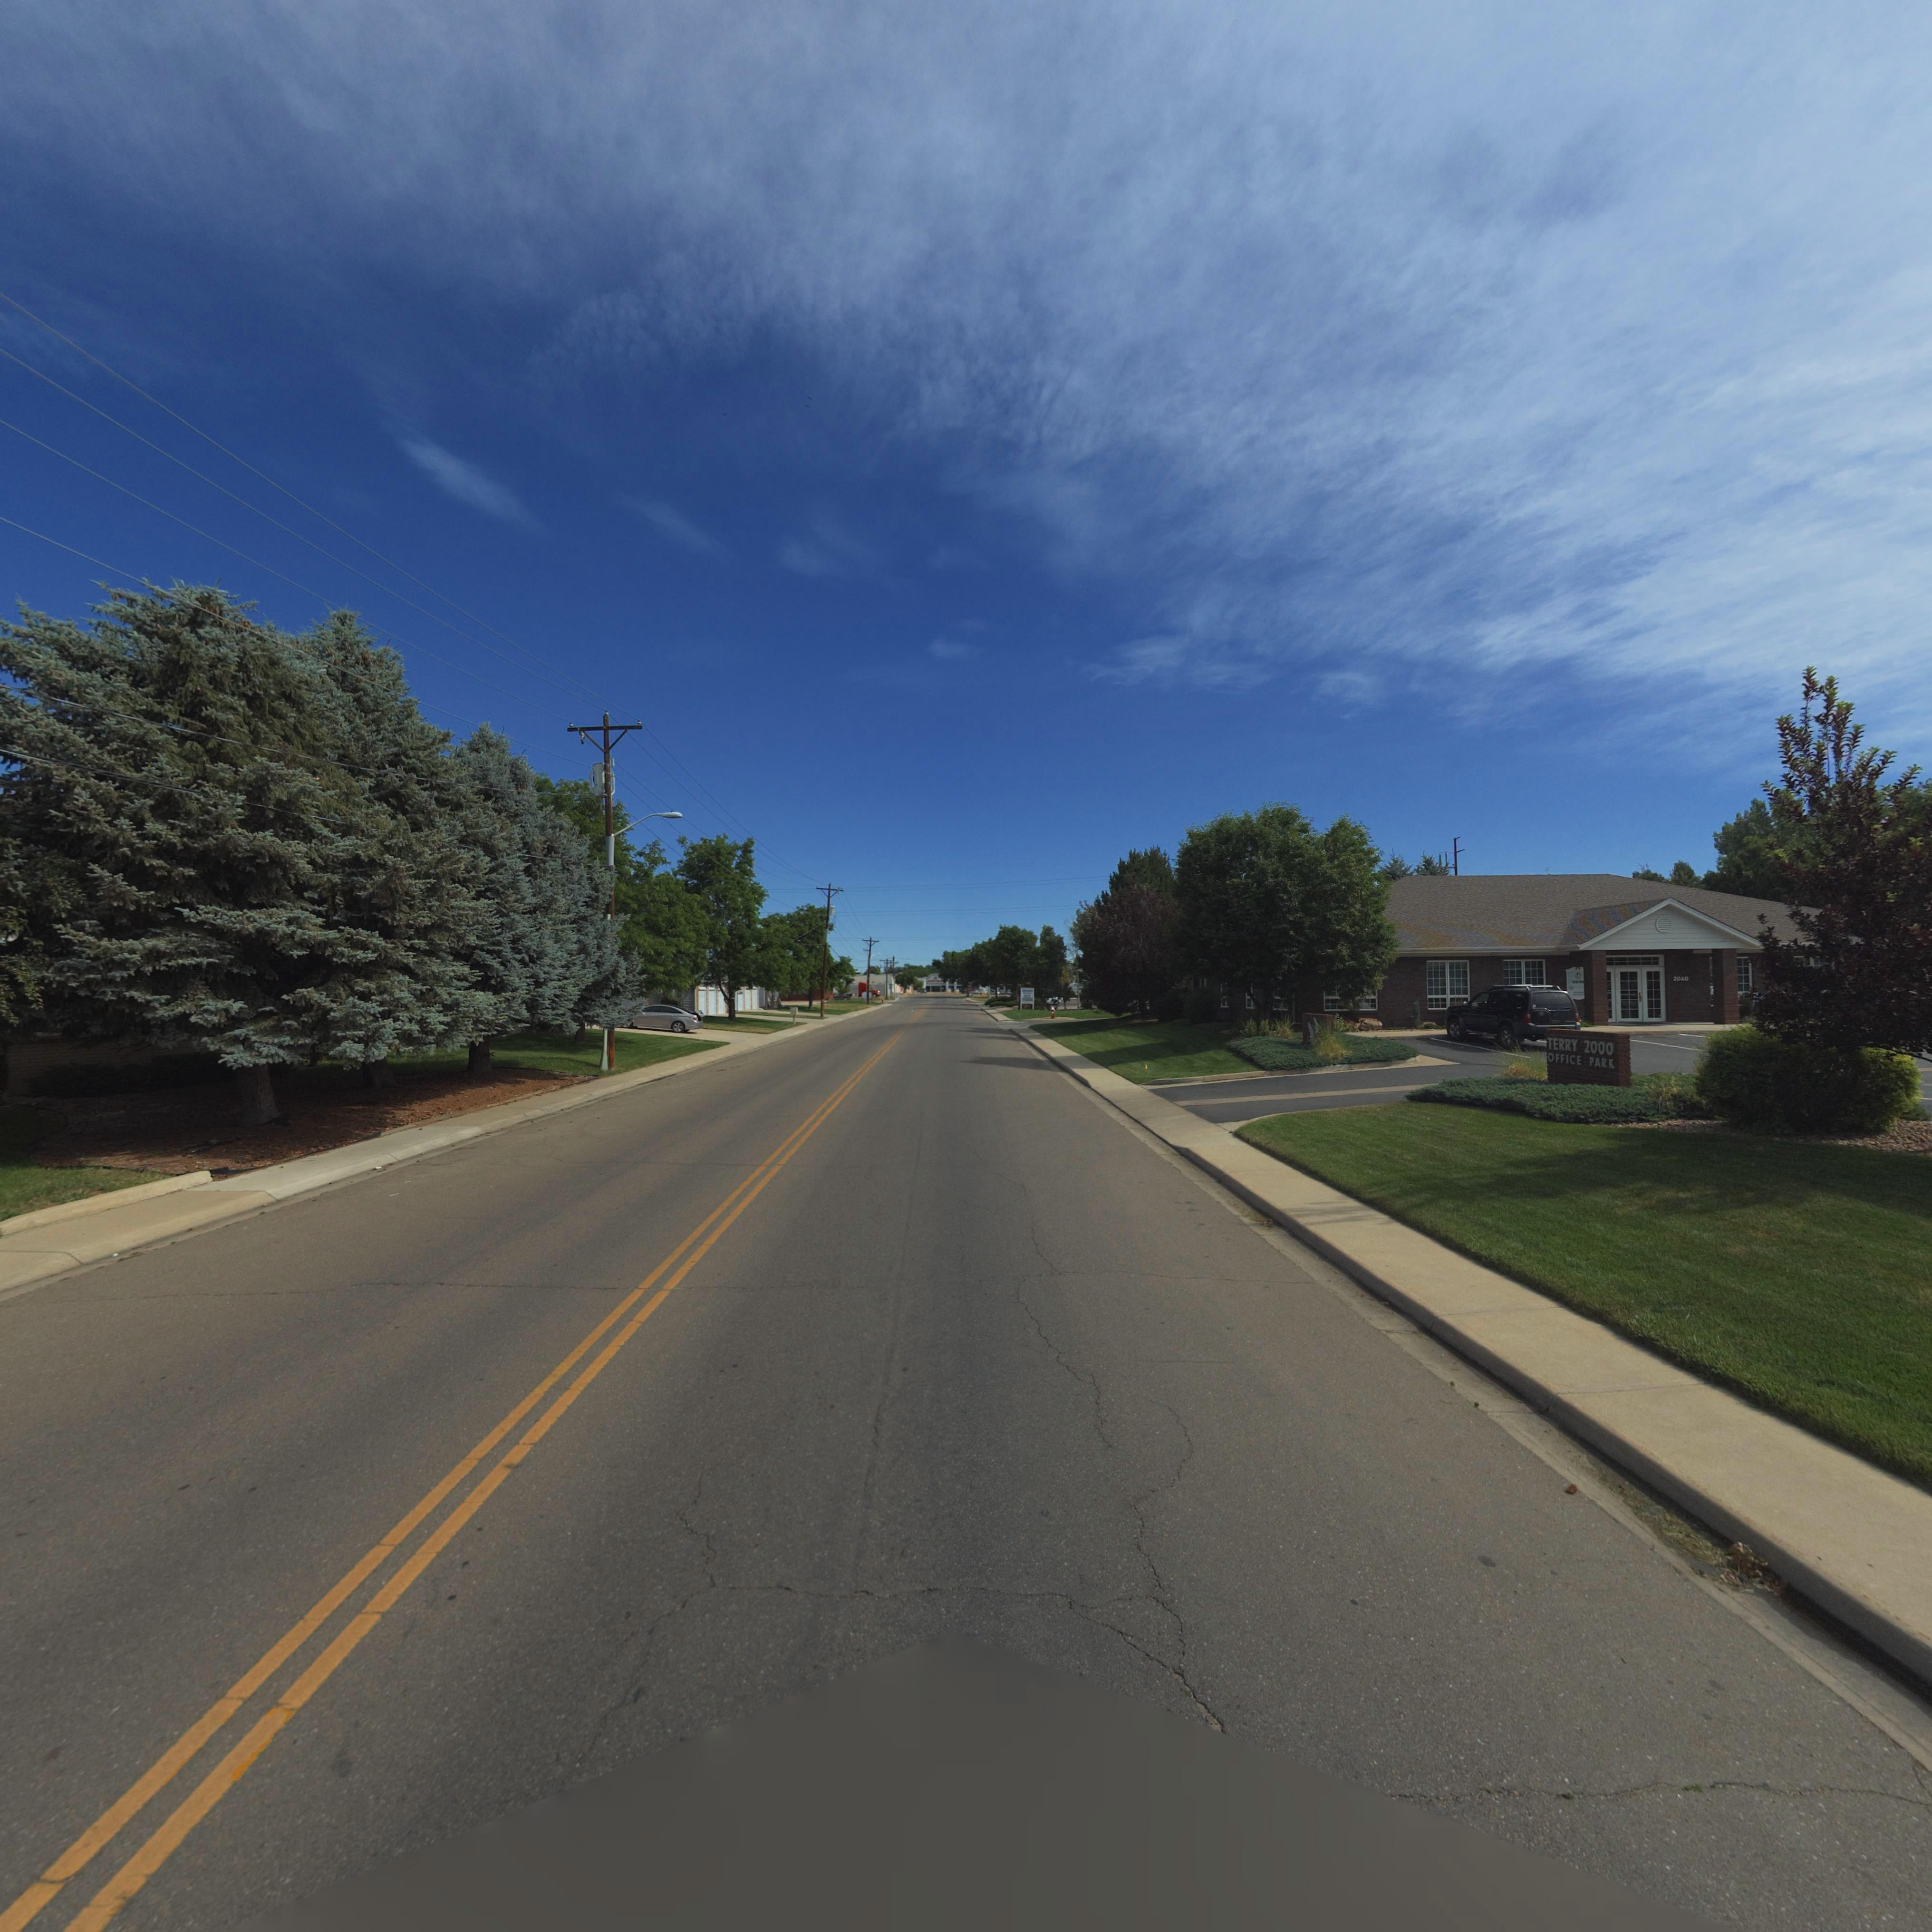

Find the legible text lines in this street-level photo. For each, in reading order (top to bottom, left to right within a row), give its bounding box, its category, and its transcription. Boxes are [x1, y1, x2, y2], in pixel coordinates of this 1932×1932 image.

[1672, 976, 1689, 981] StreetNumber: 2040
[1547, 1037, 1578, 1052] StreetName: TERRY
[1583, 1039, 1614, 1056] StreetNumber: 2000